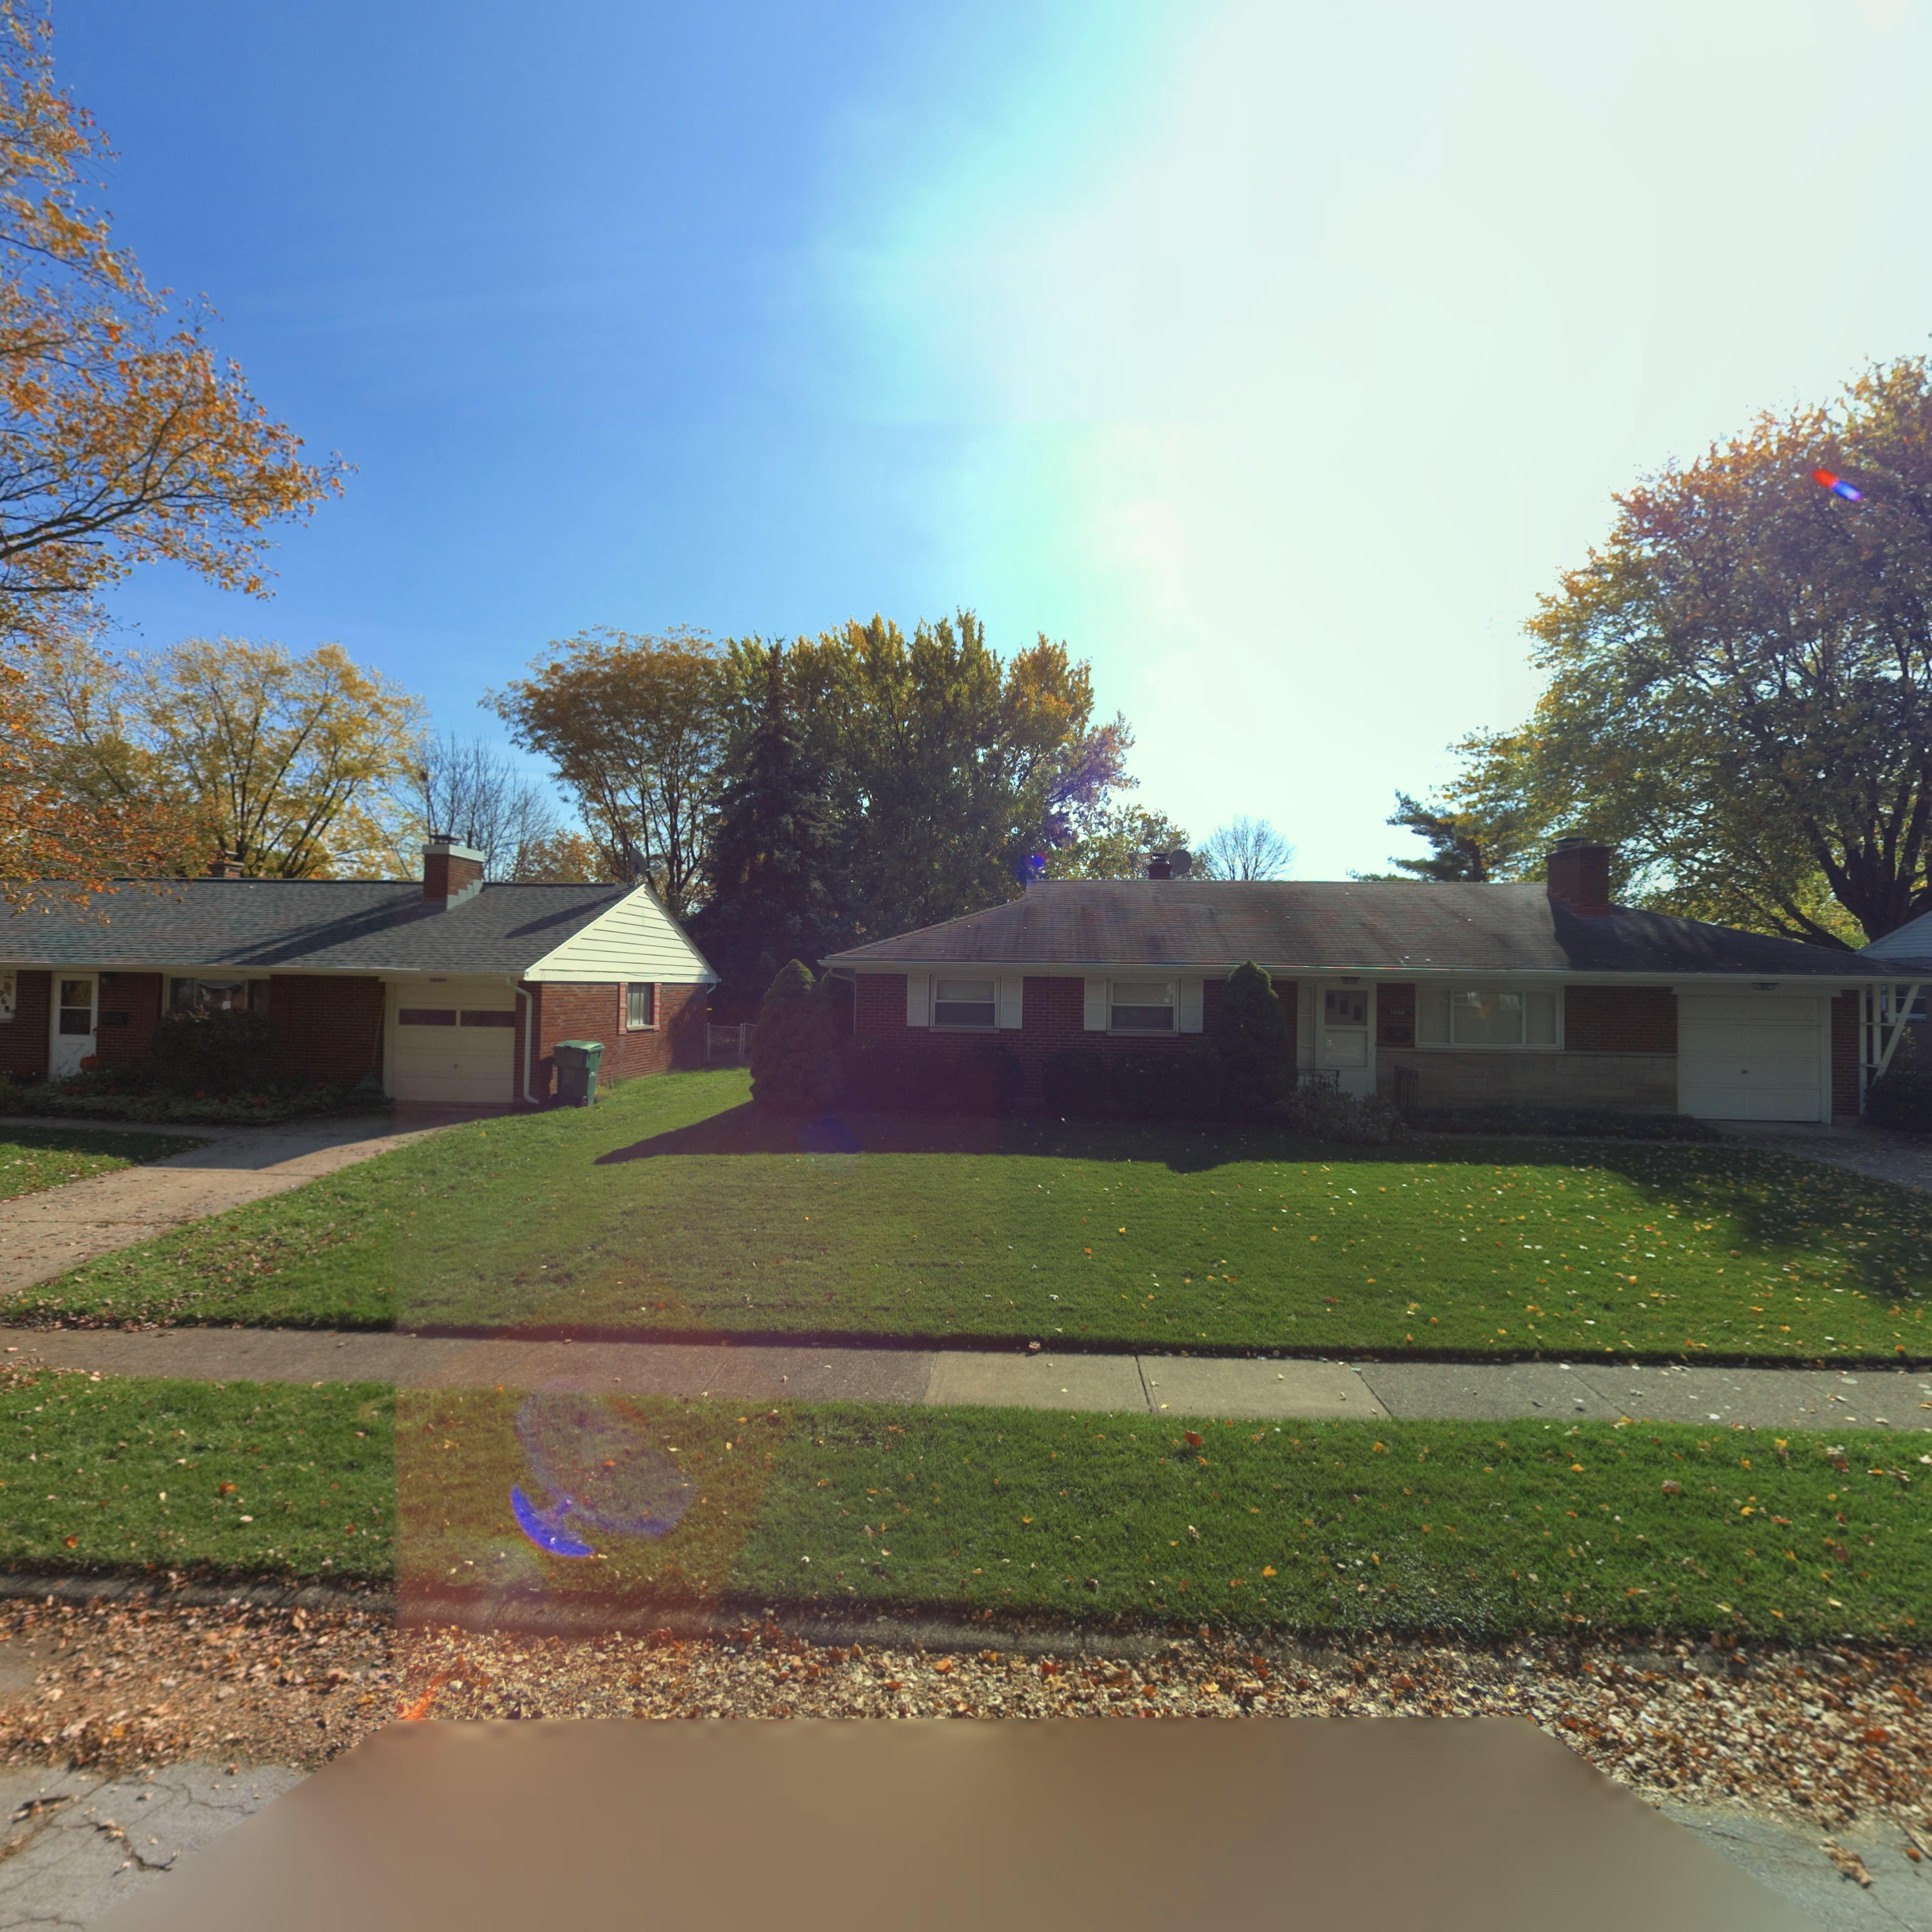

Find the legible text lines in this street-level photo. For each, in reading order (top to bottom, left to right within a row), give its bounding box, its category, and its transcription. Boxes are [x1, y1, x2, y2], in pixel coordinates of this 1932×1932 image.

[1389, 1009, 1404, 1014] StreetNumber: 1060